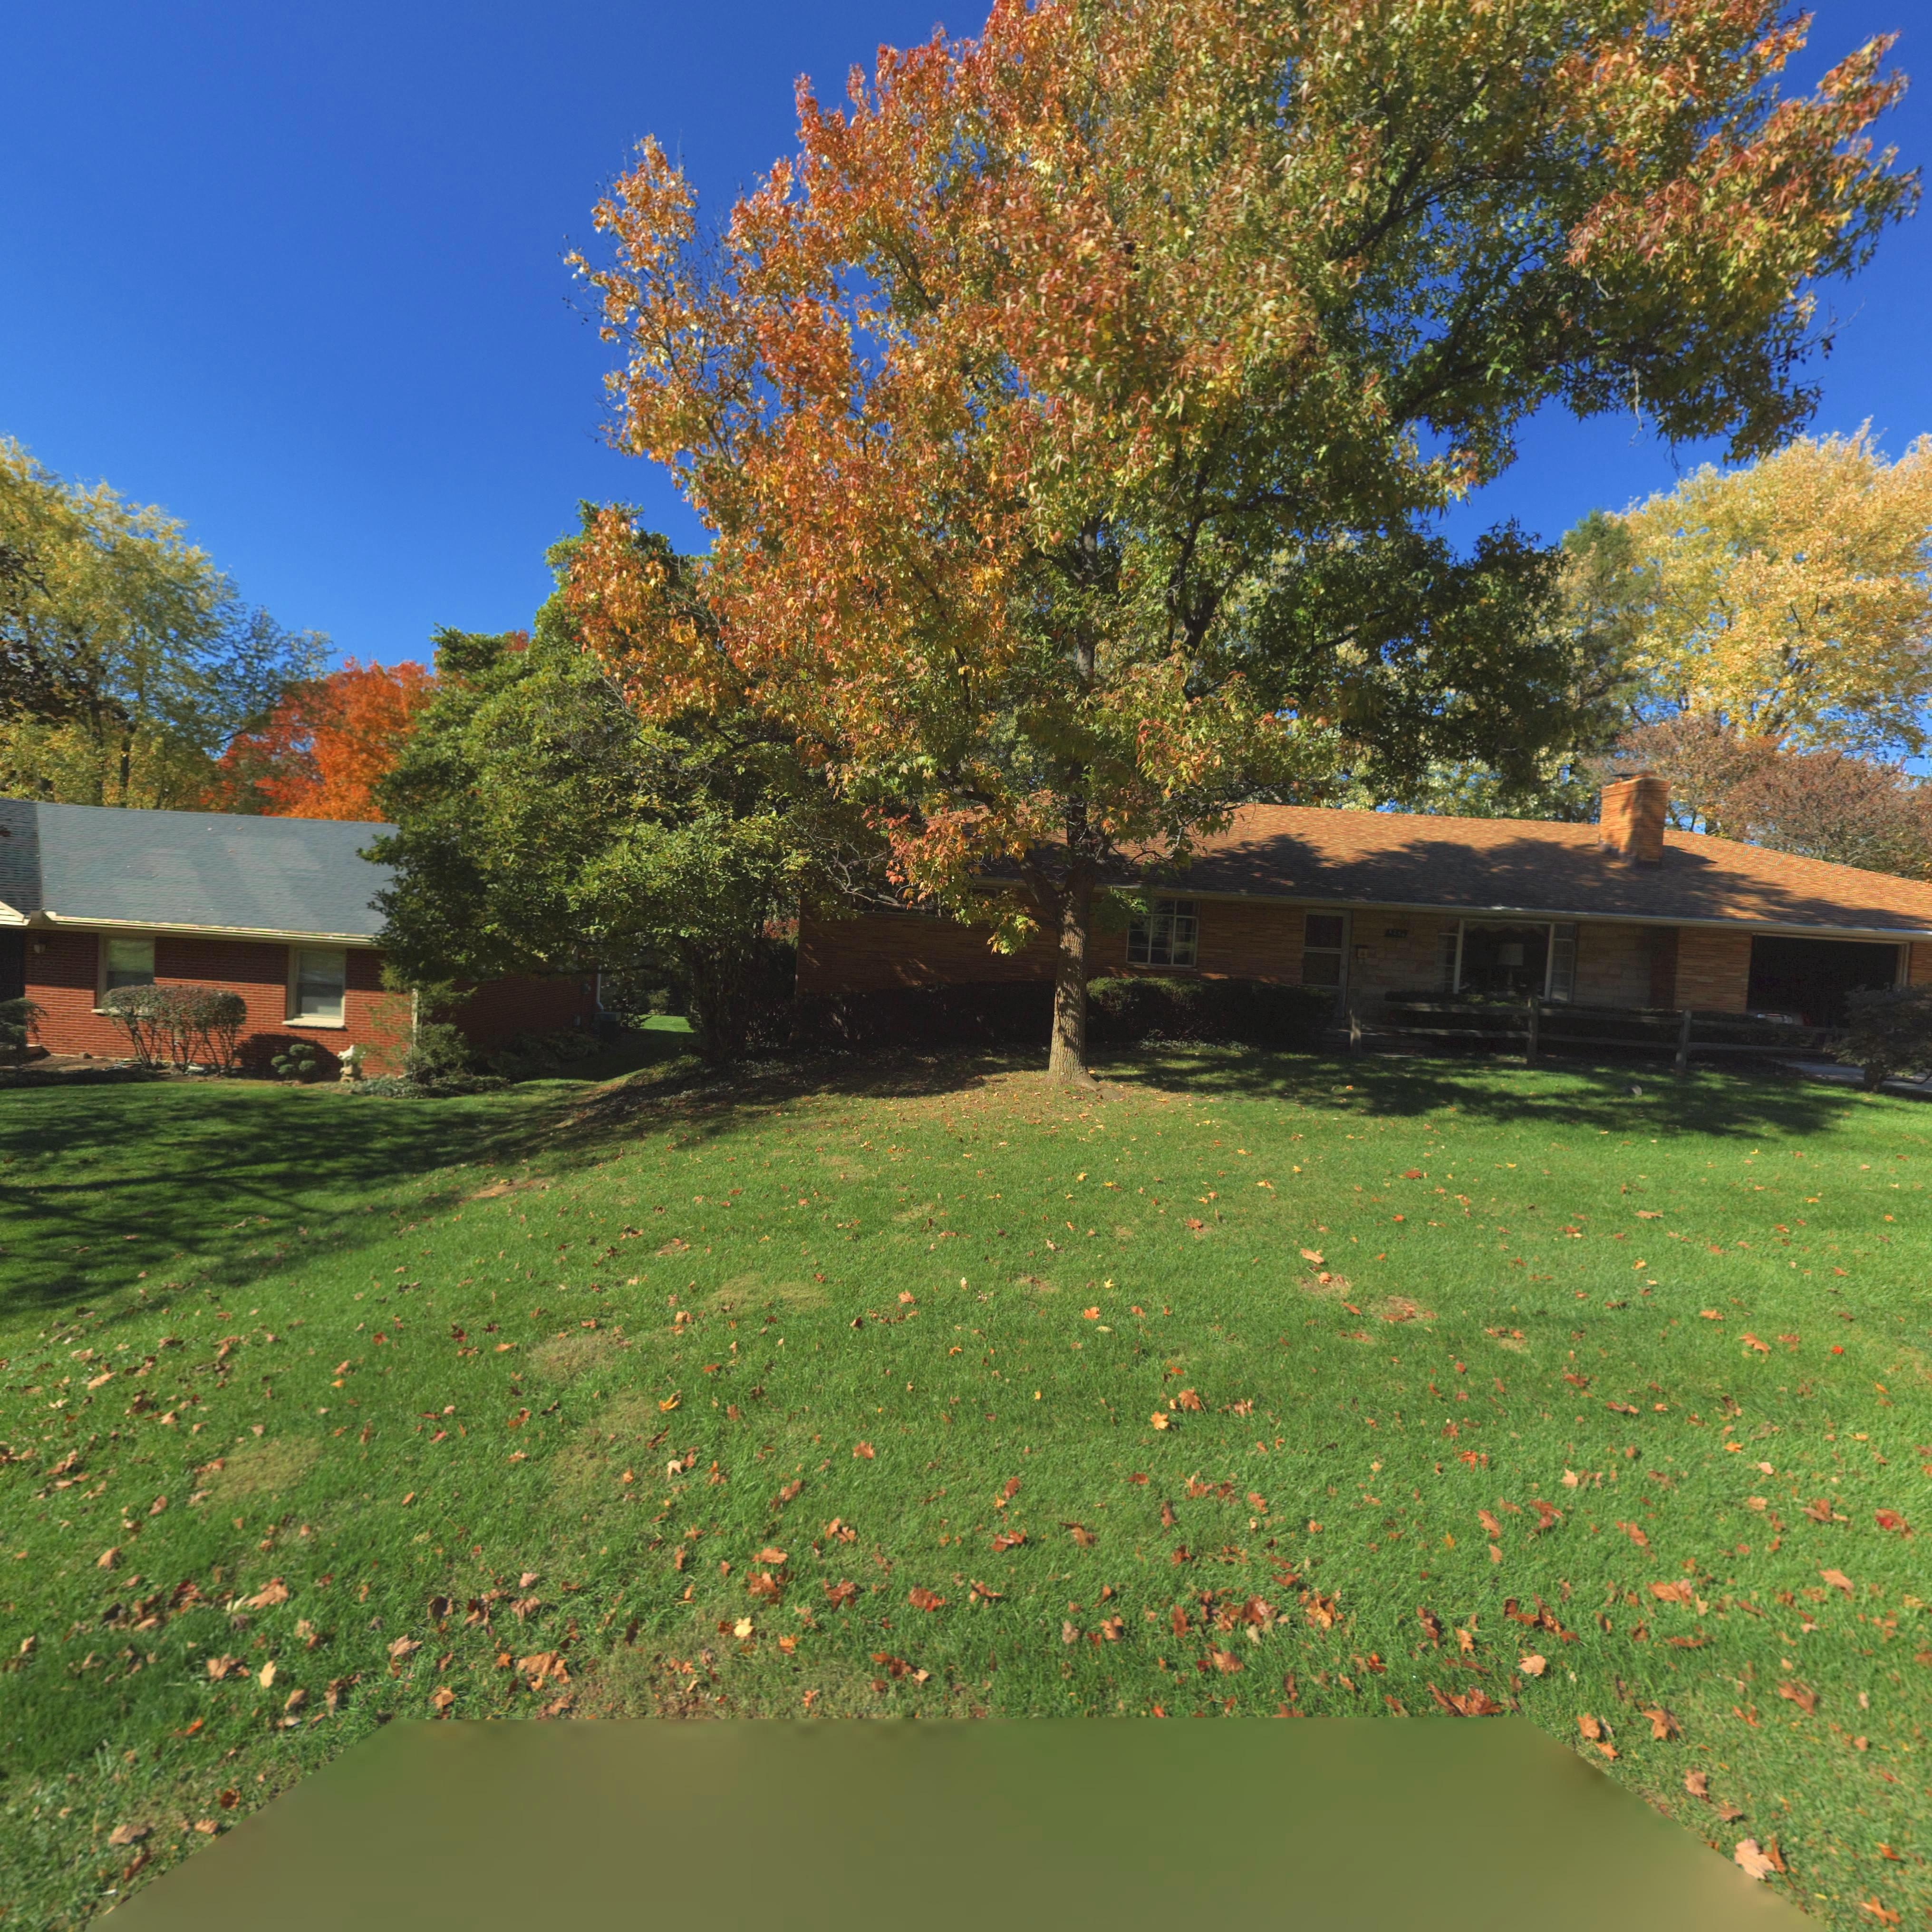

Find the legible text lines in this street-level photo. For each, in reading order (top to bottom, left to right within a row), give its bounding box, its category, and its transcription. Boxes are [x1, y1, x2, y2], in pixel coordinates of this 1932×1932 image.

[1388, 928, 1406, 938] StreetNumber: 423*